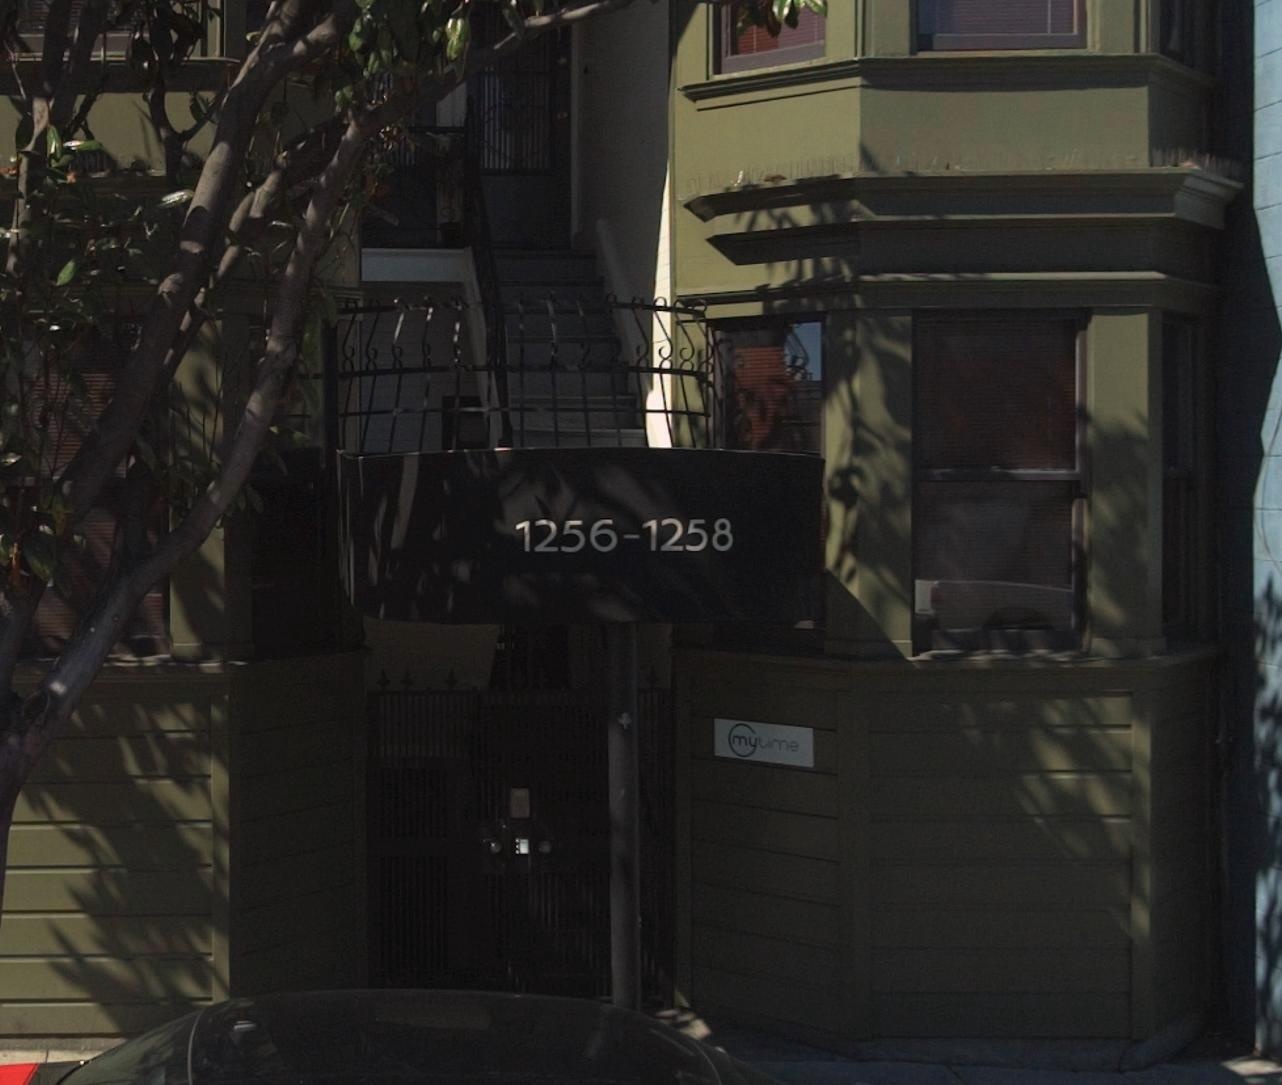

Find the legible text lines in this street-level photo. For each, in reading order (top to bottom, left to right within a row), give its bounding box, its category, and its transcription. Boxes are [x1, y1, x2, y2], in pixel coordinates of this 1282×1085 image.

[510, 515, 623, 557] StreetNumber: 1256
[639, 511, 737, 558] StreetNumber: 1258
[729, 730, 803, 758] BusinessName: mytime